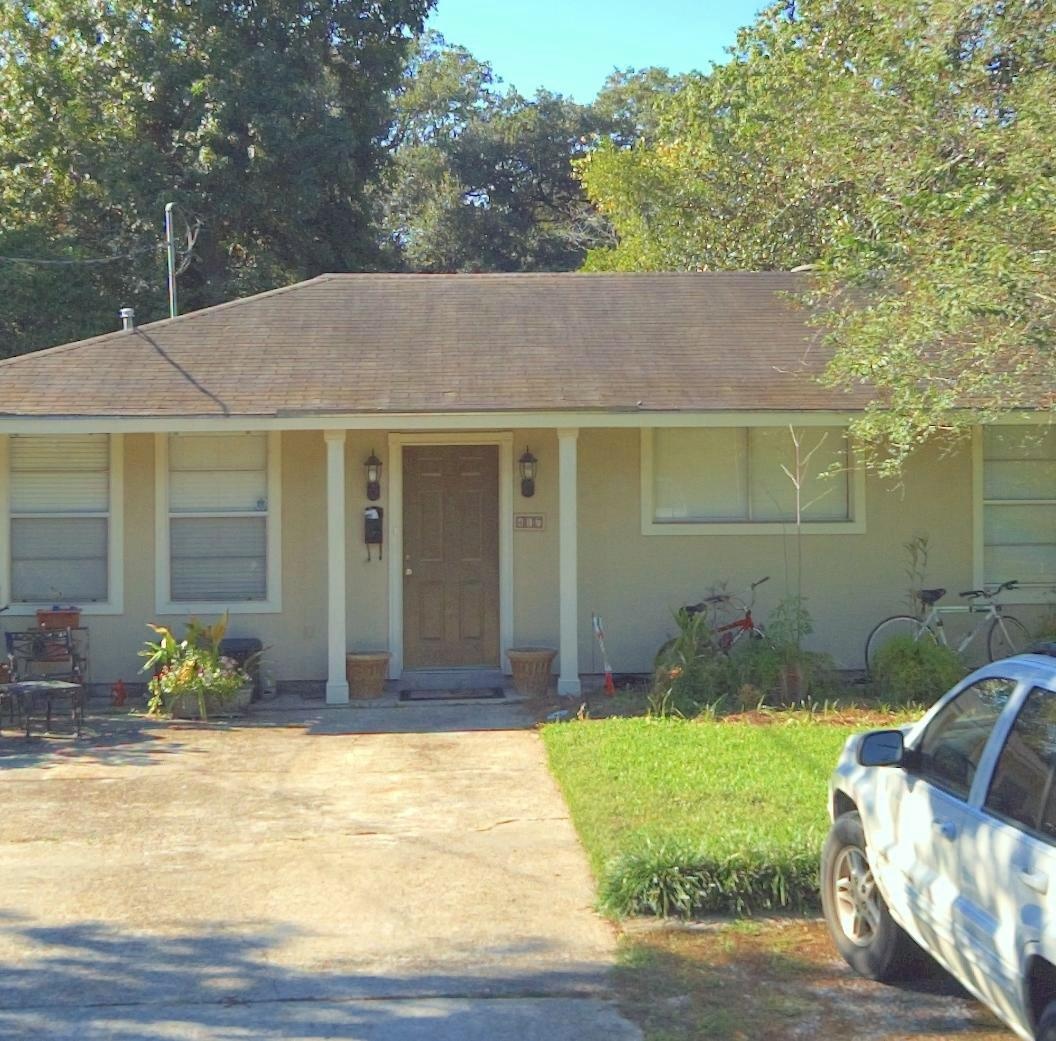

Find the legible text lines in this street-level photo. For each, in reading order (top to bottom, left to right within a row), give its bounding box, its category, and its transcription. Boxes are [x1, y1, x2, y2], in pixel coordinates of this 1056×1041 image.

[516, 515, 544, 529] StreetNumber: 306